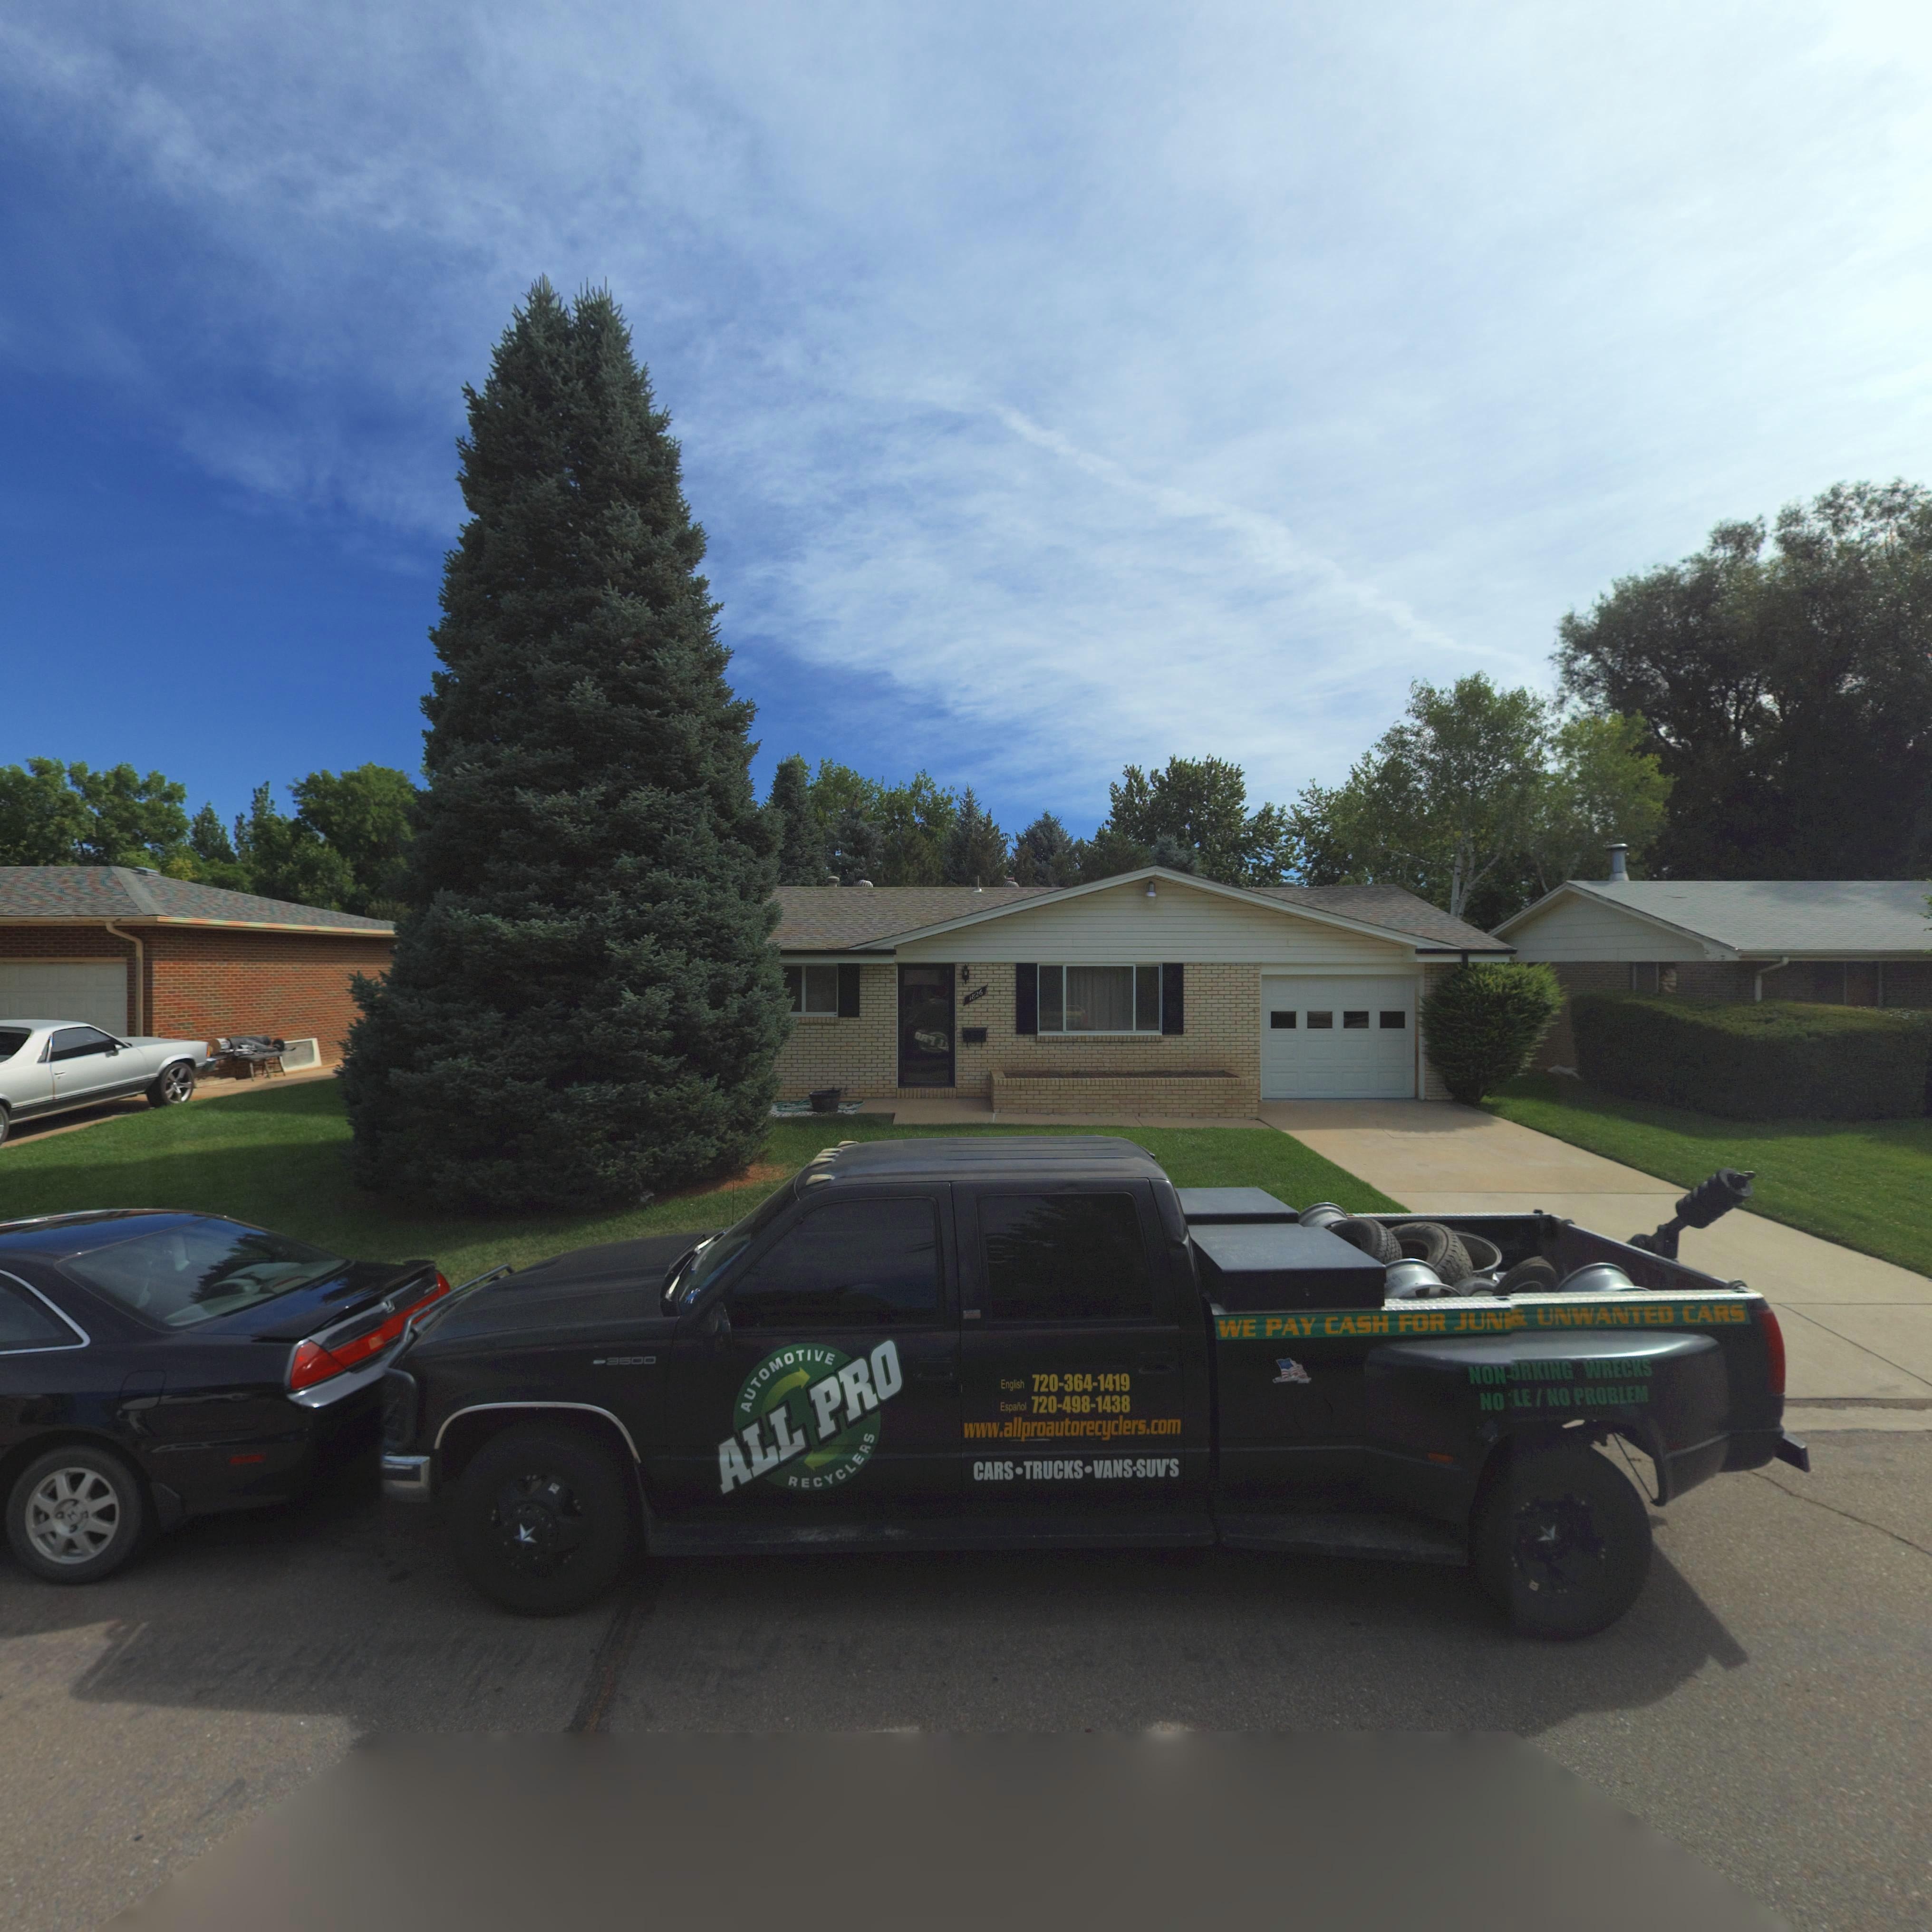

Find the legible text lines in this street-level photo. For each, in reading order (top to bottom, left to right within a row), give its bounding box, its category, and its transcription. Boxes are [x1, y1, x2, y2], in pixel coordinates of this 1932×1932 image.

[969, 988, 983, 1001] StreetNumber: 1826